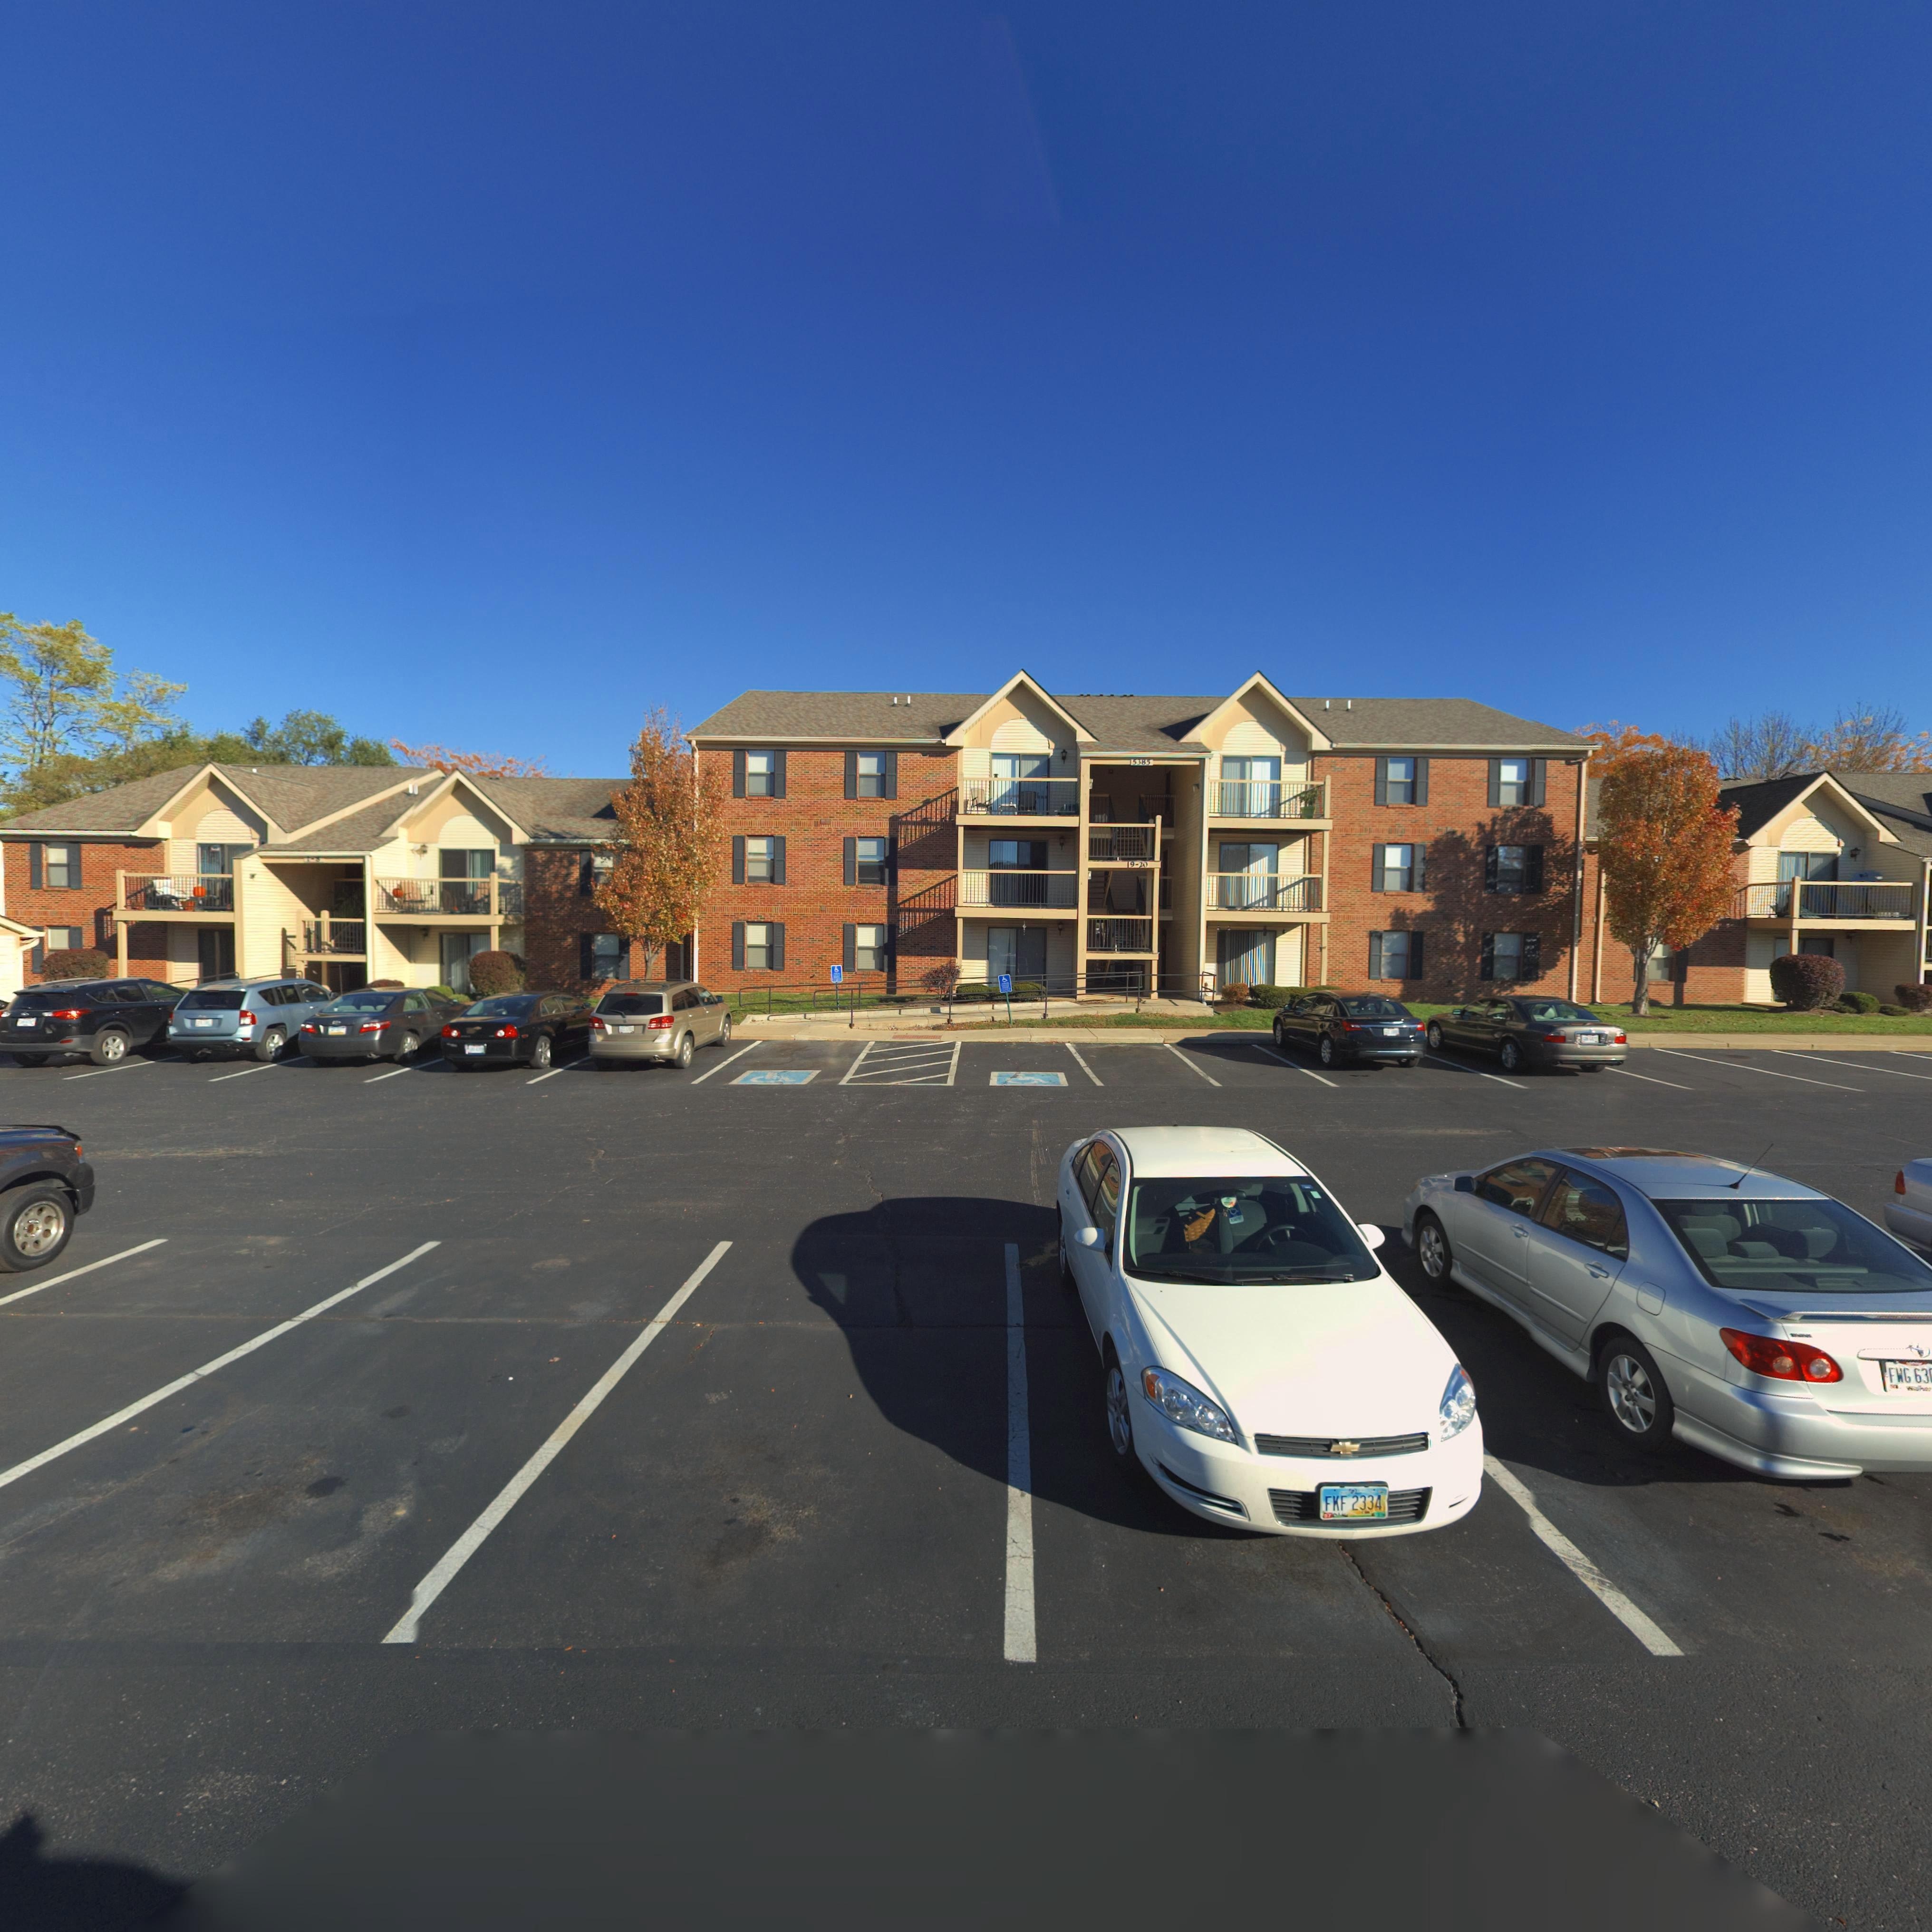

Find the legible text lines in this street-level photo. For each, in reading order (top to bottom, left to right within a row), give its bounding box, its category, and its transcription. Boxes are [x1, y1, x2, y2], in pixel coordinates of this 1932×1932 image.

[1132, 758, 1151, 765] StreetNumber: 5385
[306, 857, 320, 861] StreetNumber: 1-8
[1130, 861, 1148, 868] StreetNumber: 9-20